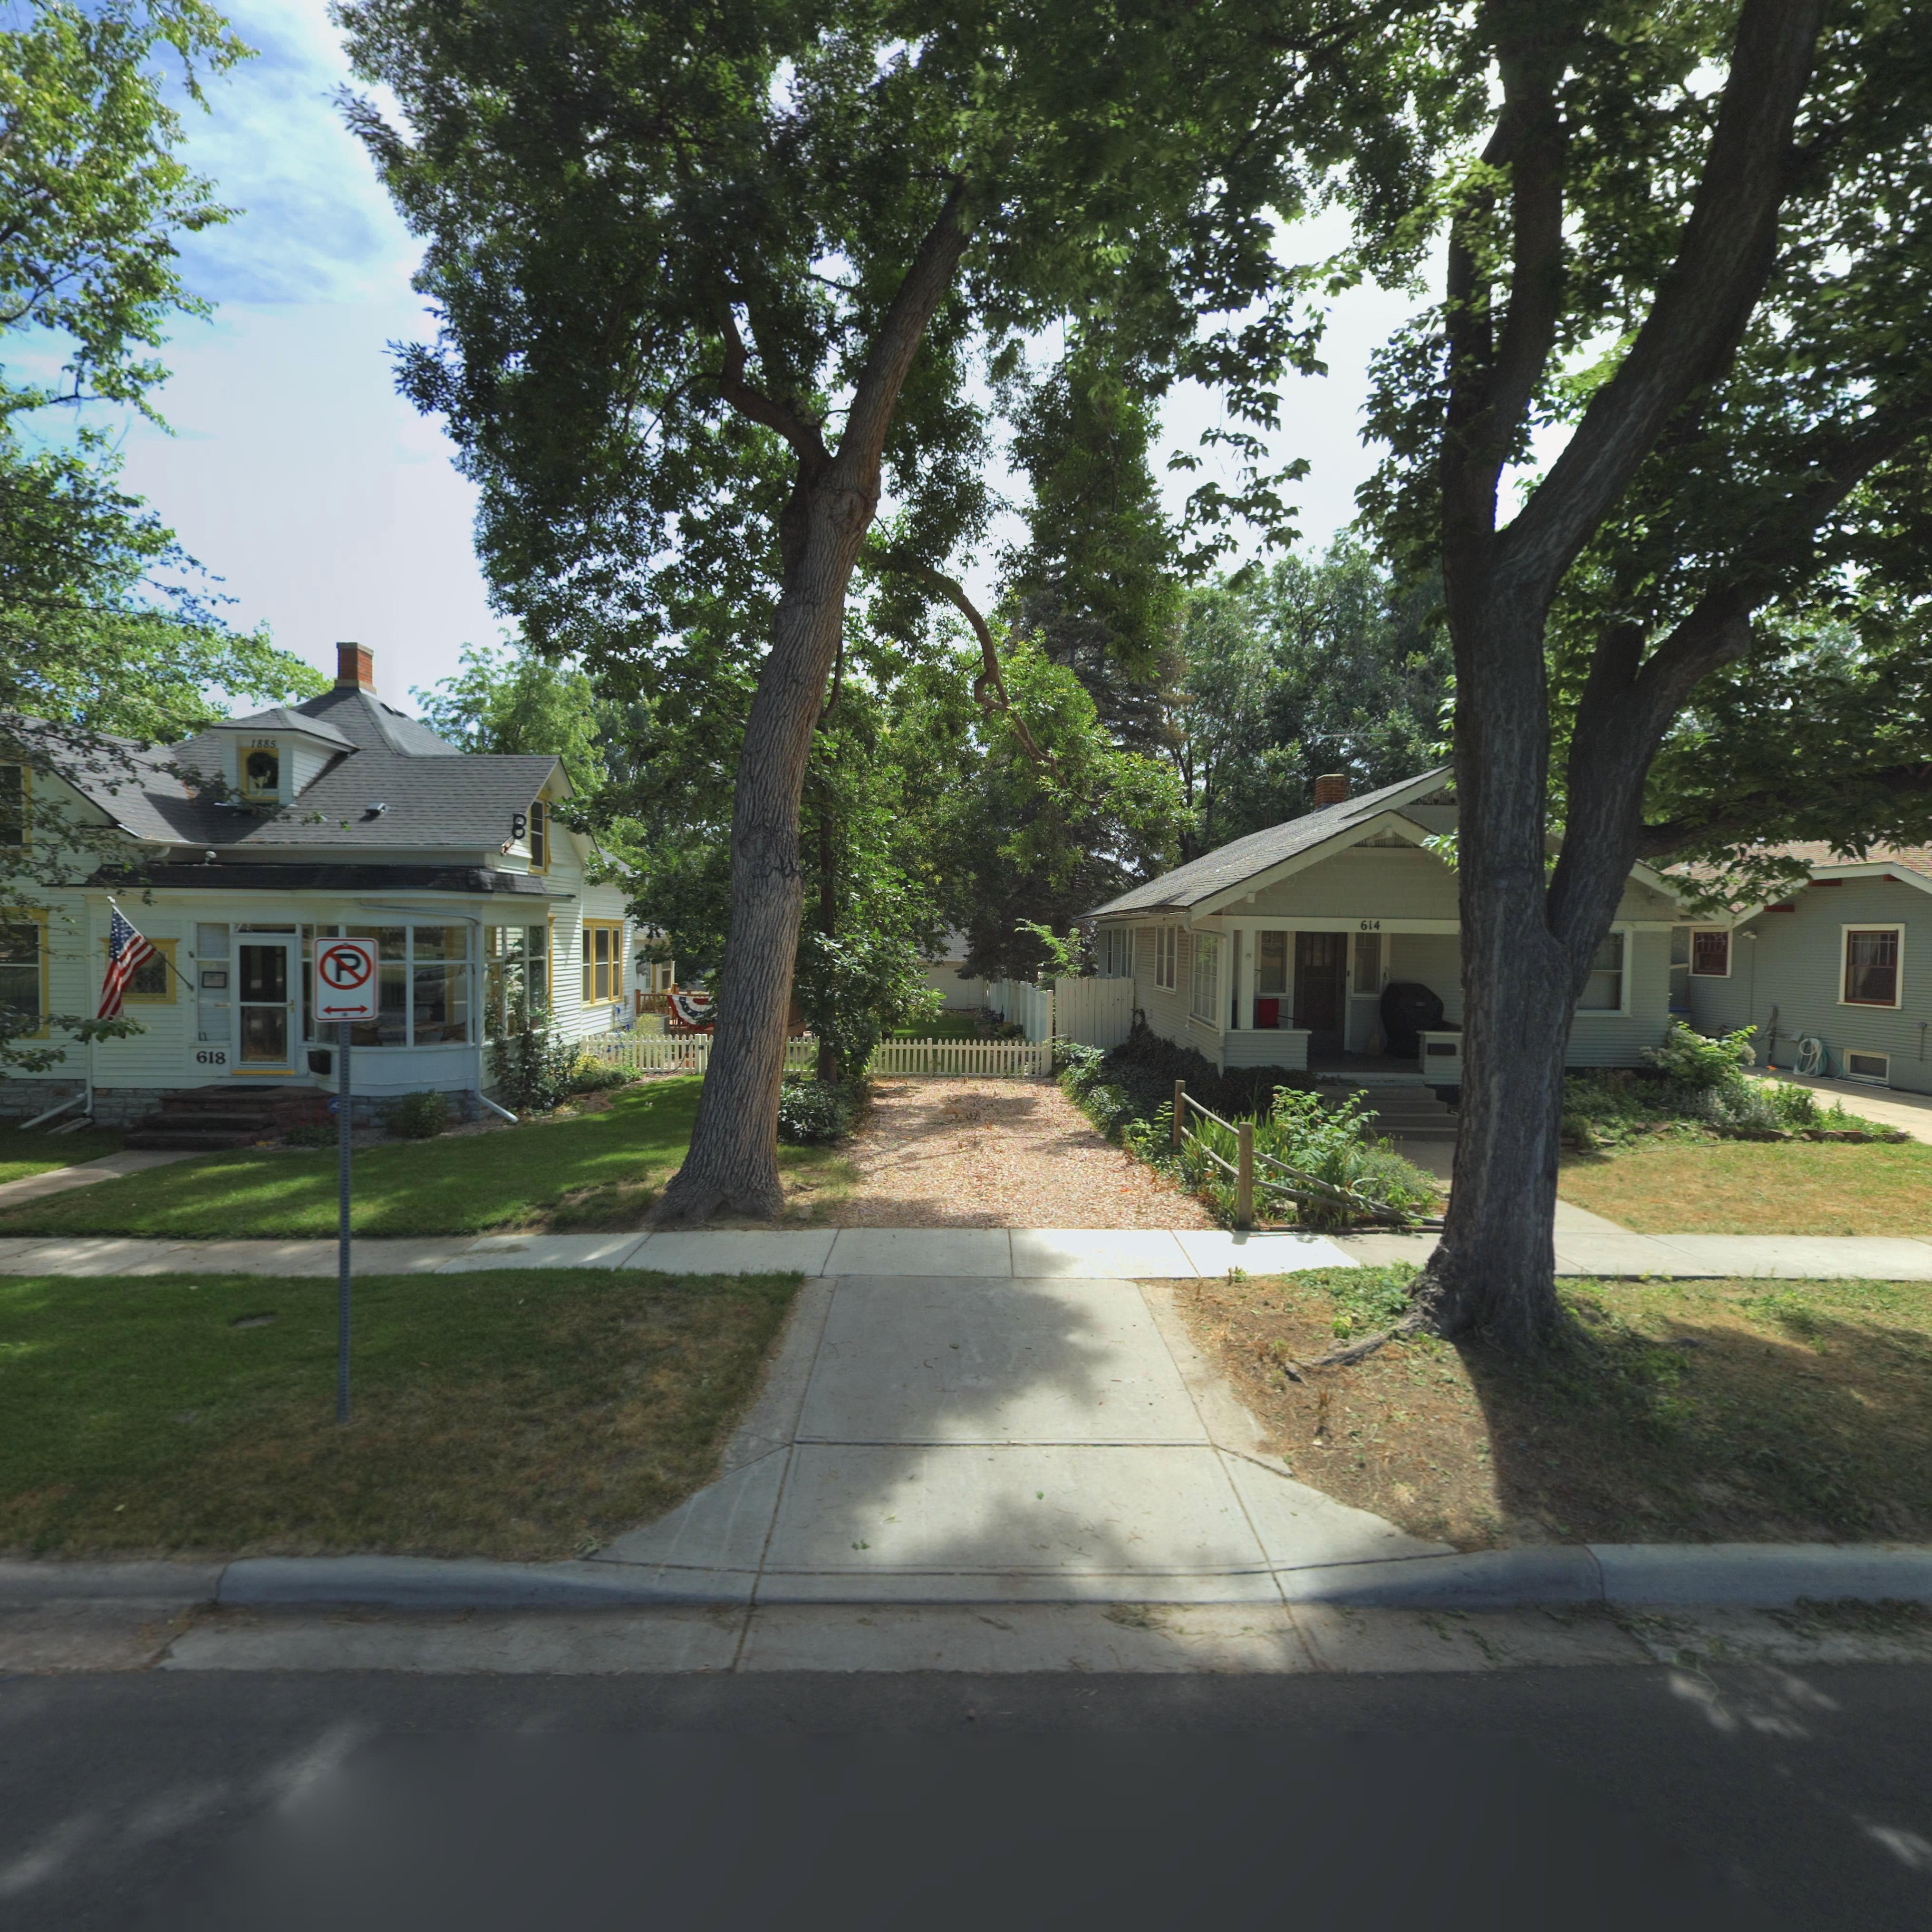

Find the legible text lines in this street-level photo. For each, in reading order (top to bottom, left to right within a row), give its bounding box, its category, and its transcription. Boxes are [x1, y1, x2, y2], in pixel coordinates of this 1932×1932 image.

[249, 737, 278, 749] StreetNumber: 1885
[1360, 919, 1381, 930] StreetNumber: 614
[195, 1050, 225, 1064] StreetNumber: 618